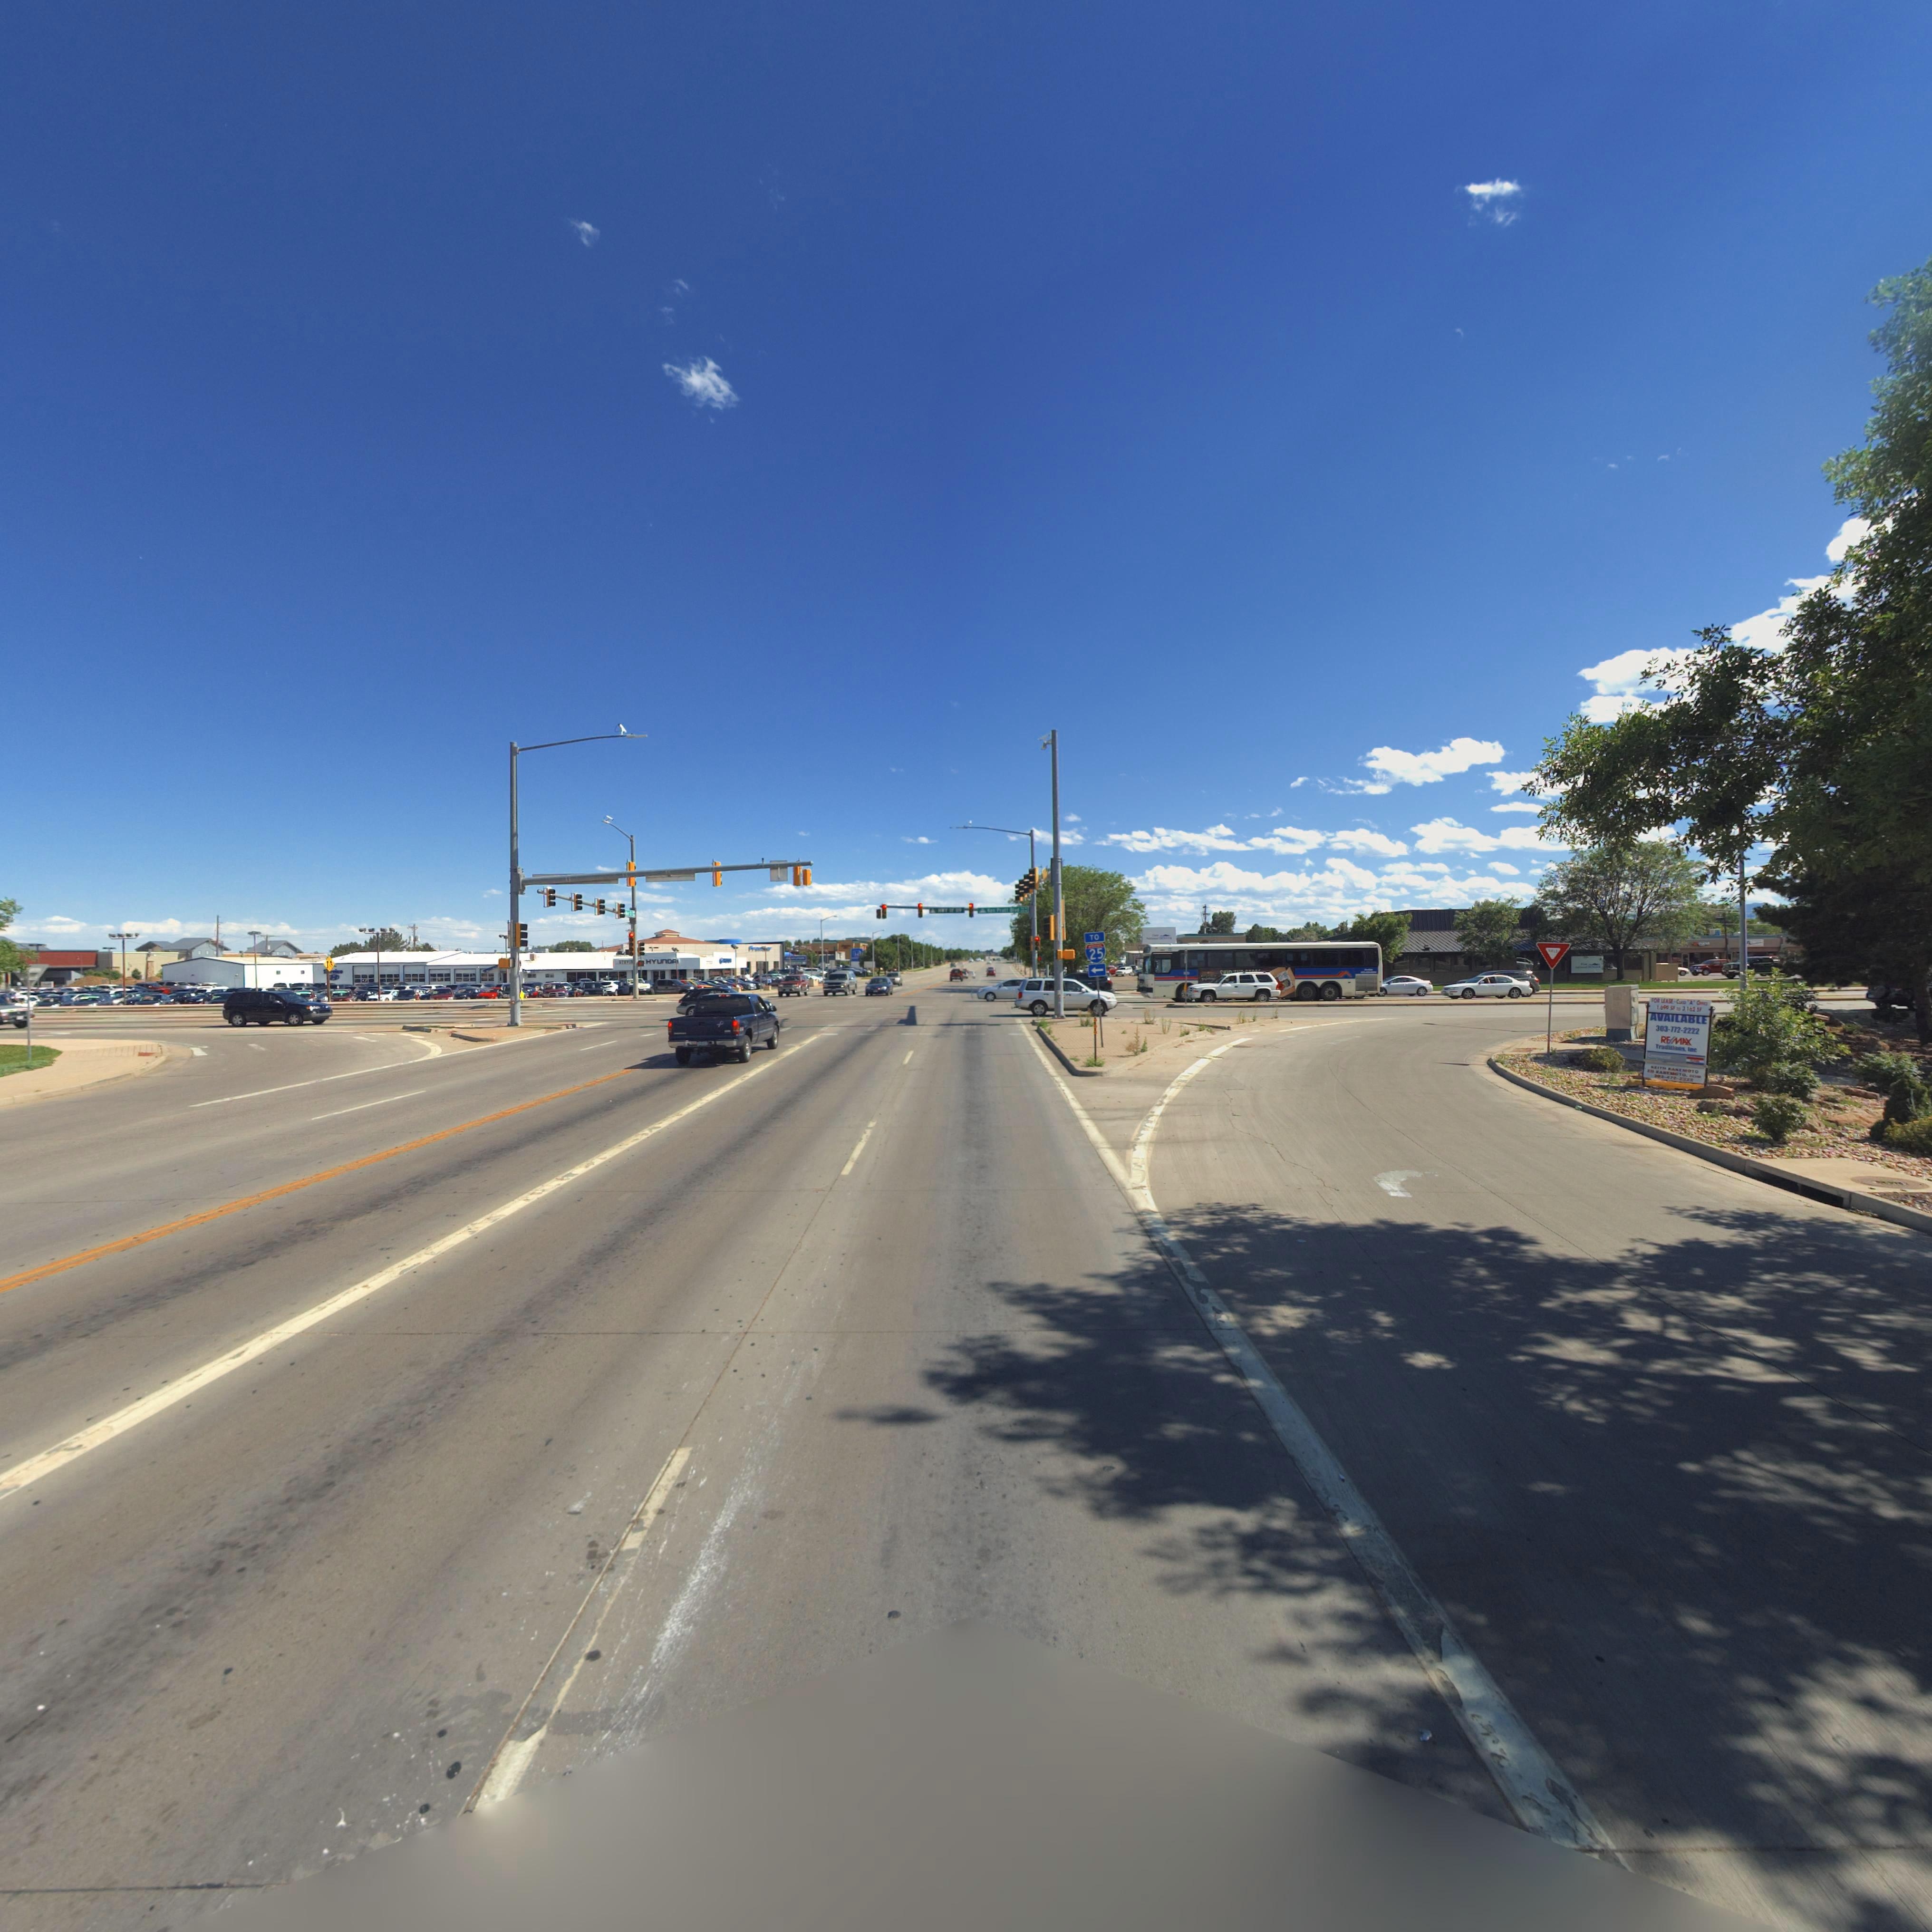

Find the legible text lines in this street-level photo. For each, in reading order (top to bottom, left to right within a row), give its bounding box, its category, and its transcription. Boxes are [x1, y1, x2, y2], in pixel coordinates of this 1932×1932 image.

[937, 907, 963, 913] StreetName: HWY ** 119
[987, 907, 1020, 913] StreetName: K*n Pratt Blvd
[748, 945, 773, 951] BusinessName: FRON****
[618, 959, 632, 964] BusinessName: *TEVE*
[646, 958, 679, 964] BusinessName: HYUnDAI